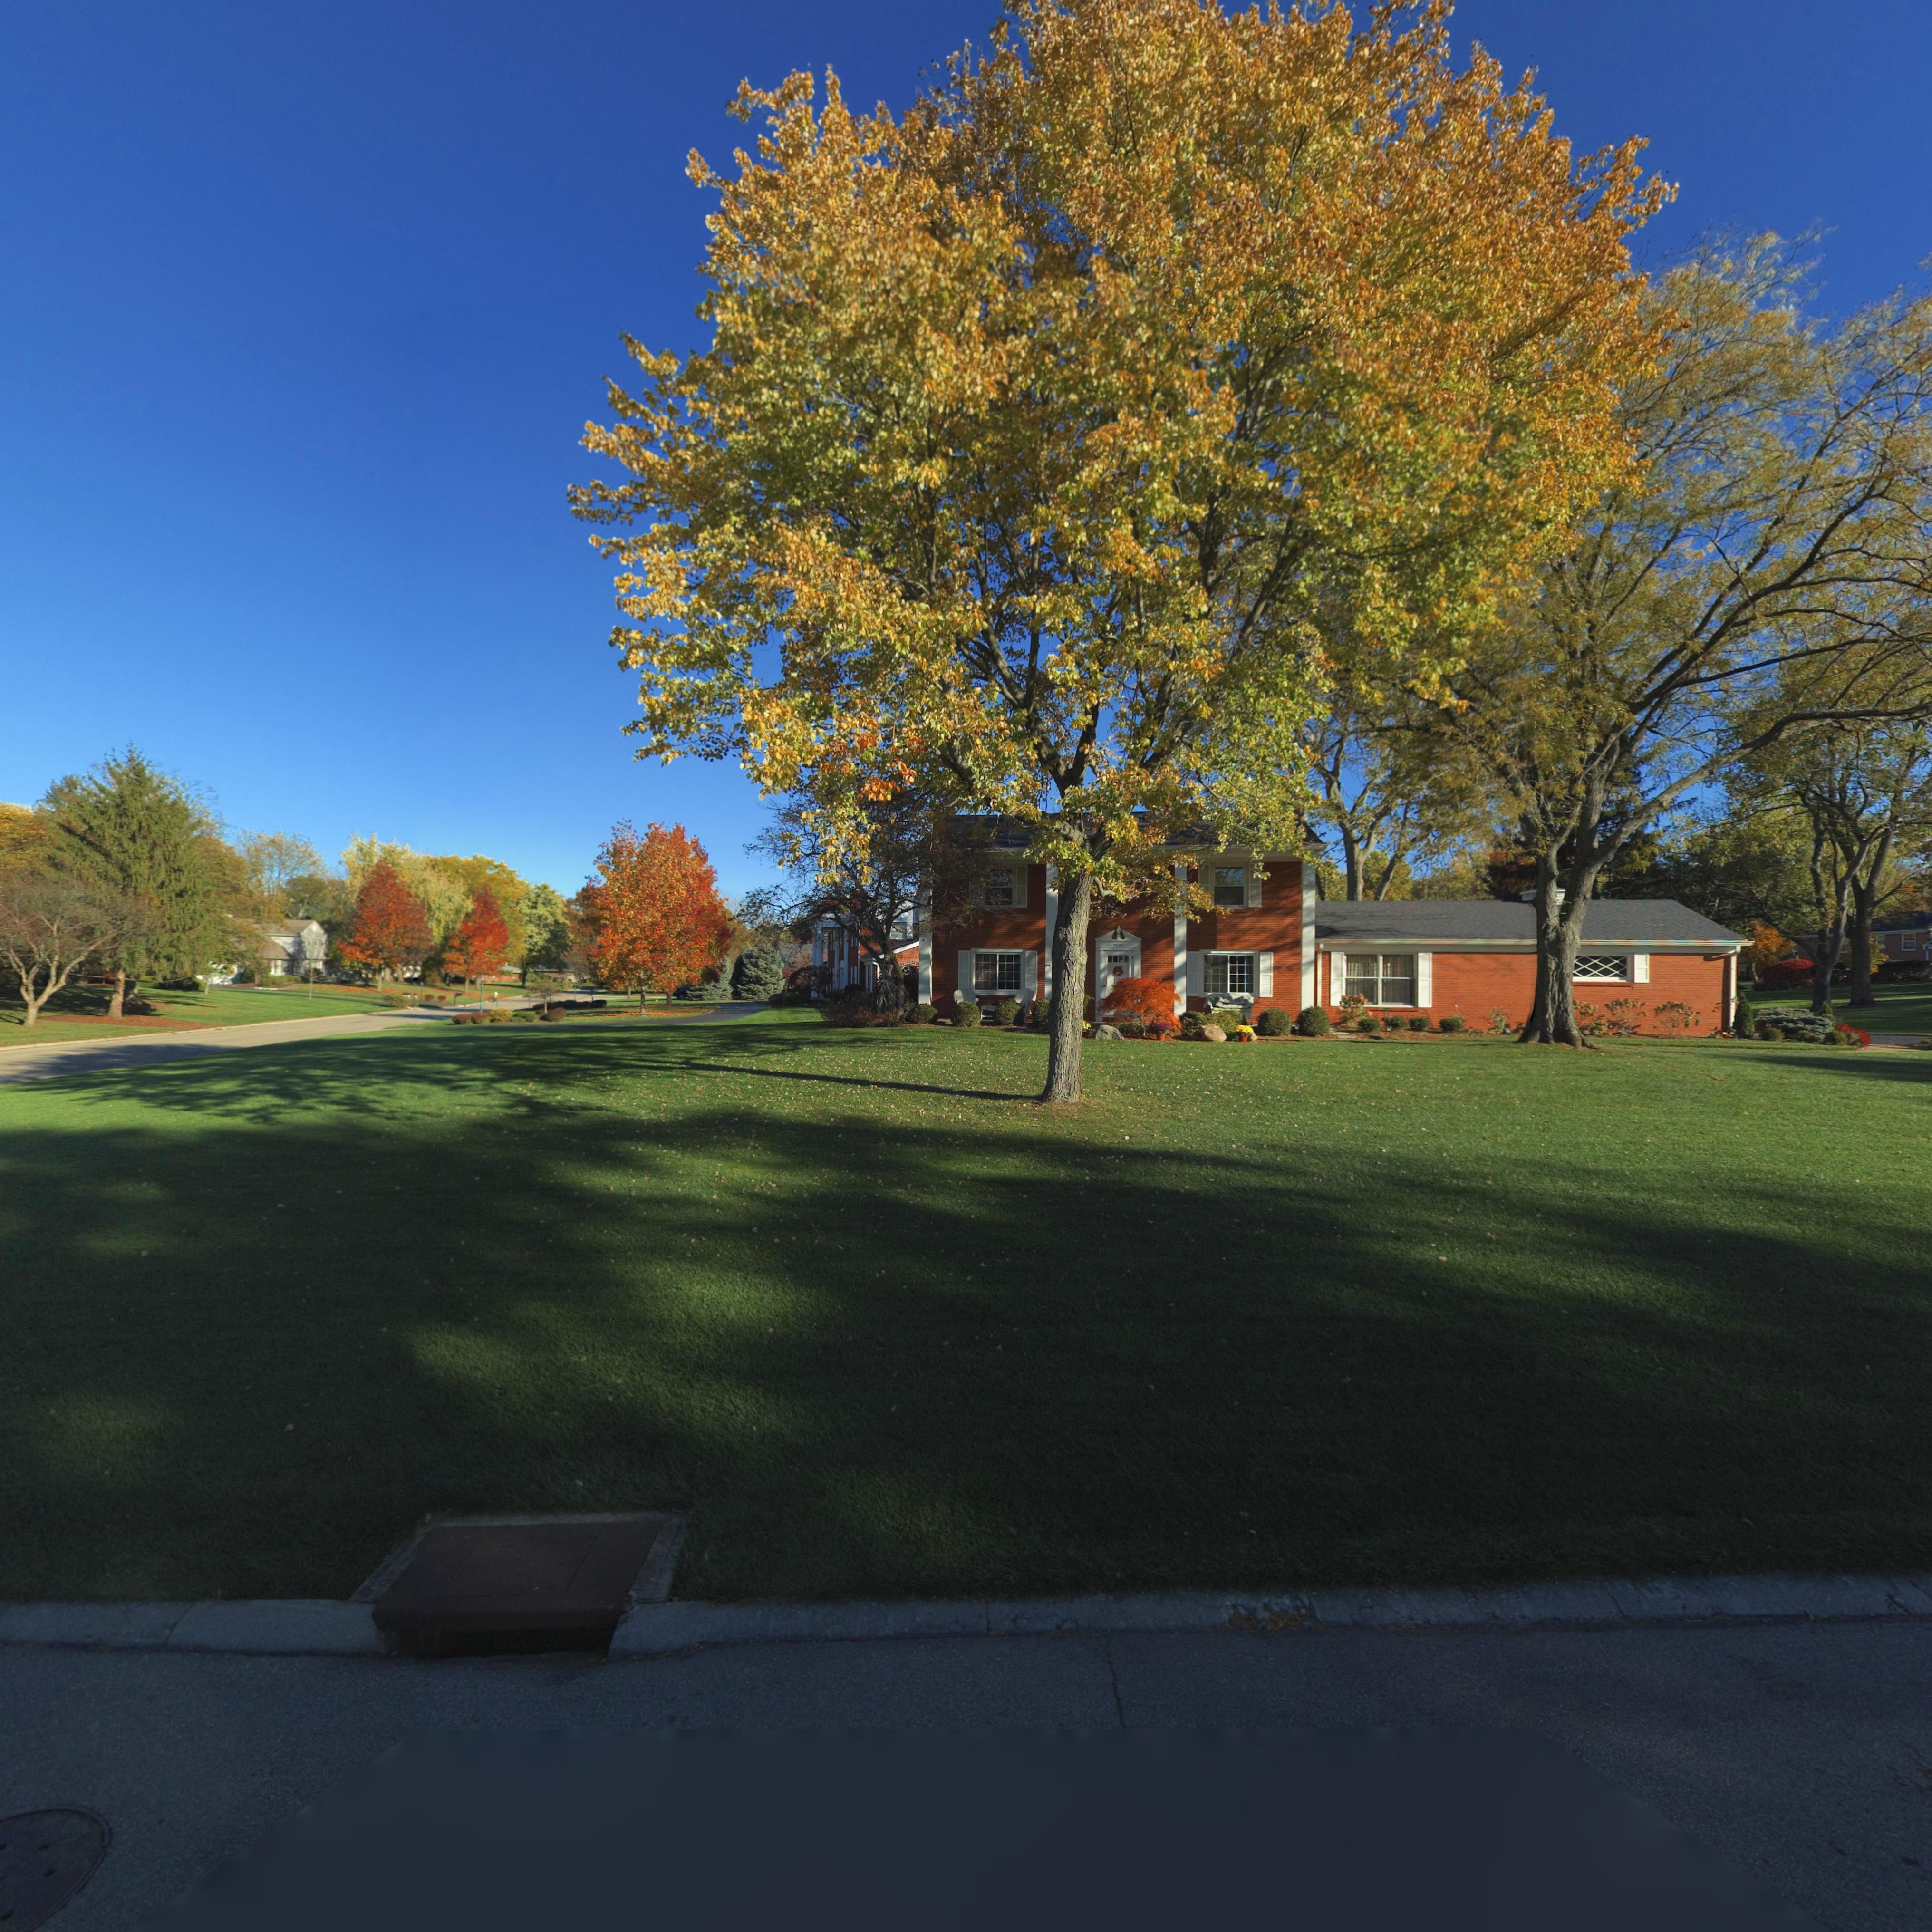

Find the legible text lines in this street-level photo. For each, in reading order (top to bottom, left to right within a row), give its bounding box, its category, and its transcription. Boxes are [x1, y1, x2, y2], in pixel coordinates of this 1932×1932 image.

[1112, 943, 1123, 947] StreetNumber: 5830